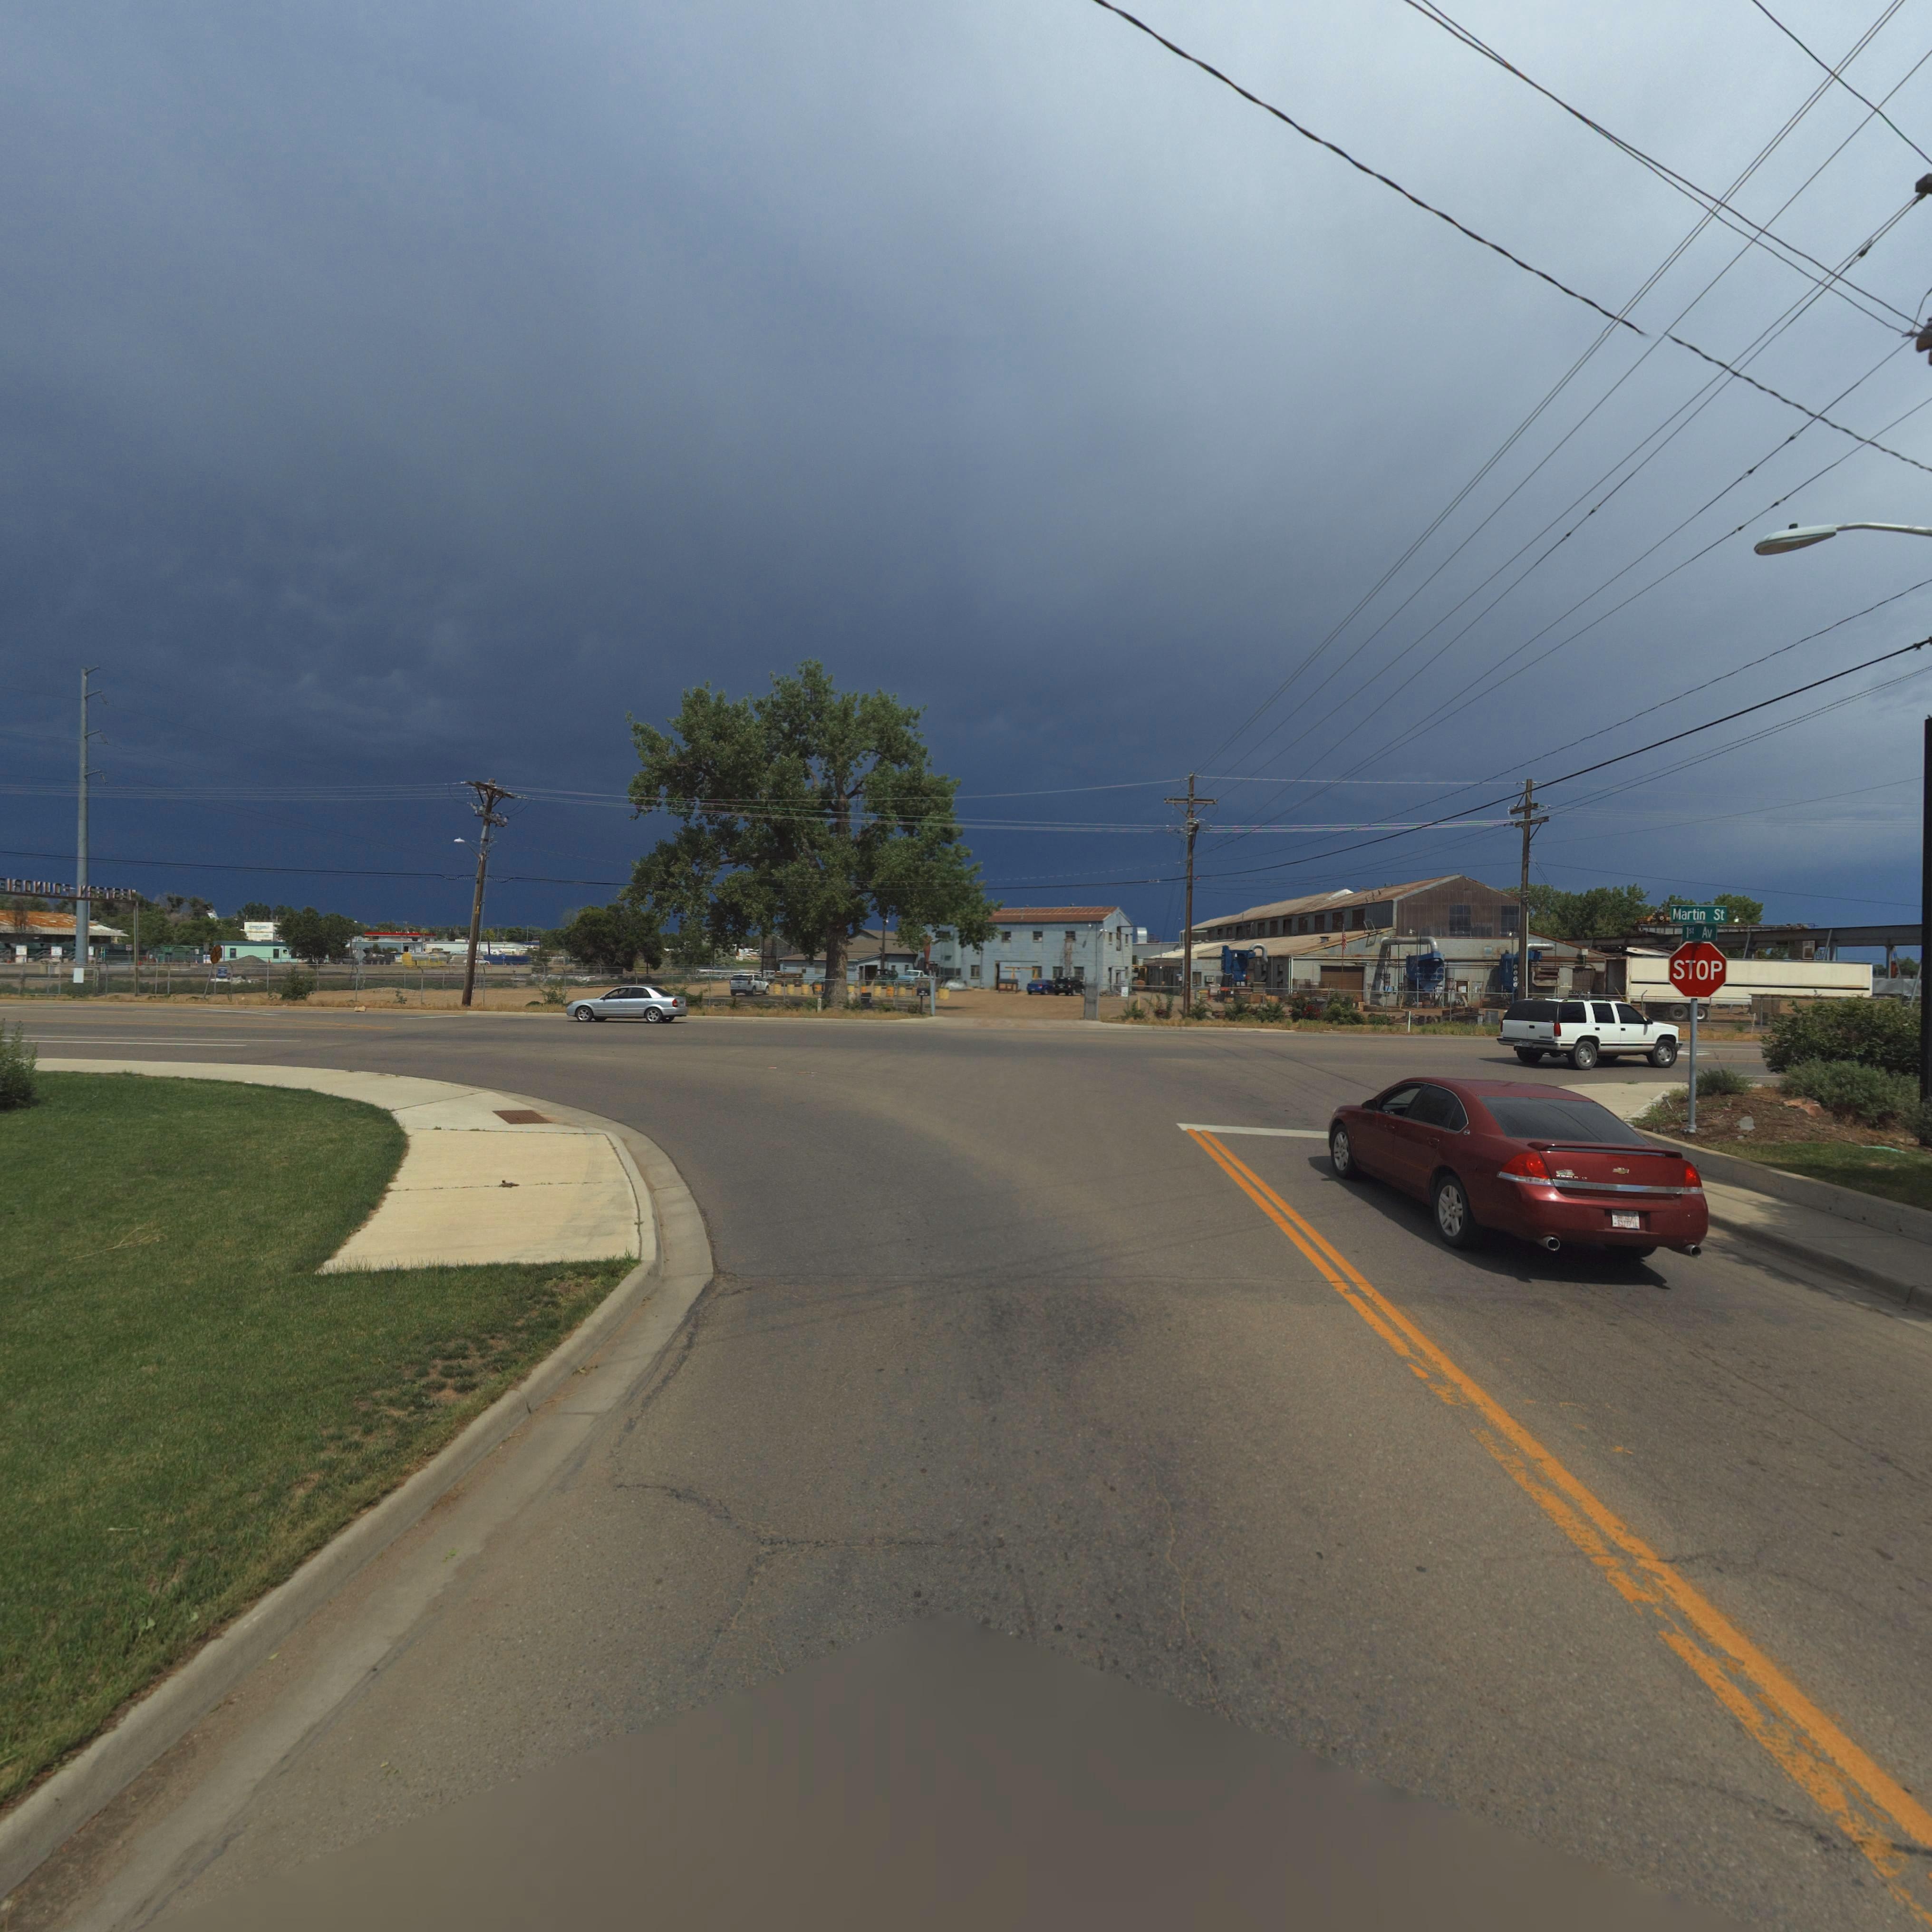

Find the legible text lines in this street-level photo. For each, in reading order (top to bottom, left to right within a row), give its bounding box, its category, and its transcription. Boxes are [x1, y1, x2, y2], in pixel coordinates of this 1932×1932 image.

[1672, 908, 1725, 920] StreetName: Matin St
[1685, 926, 1713, 938] StreetName: 1st Av